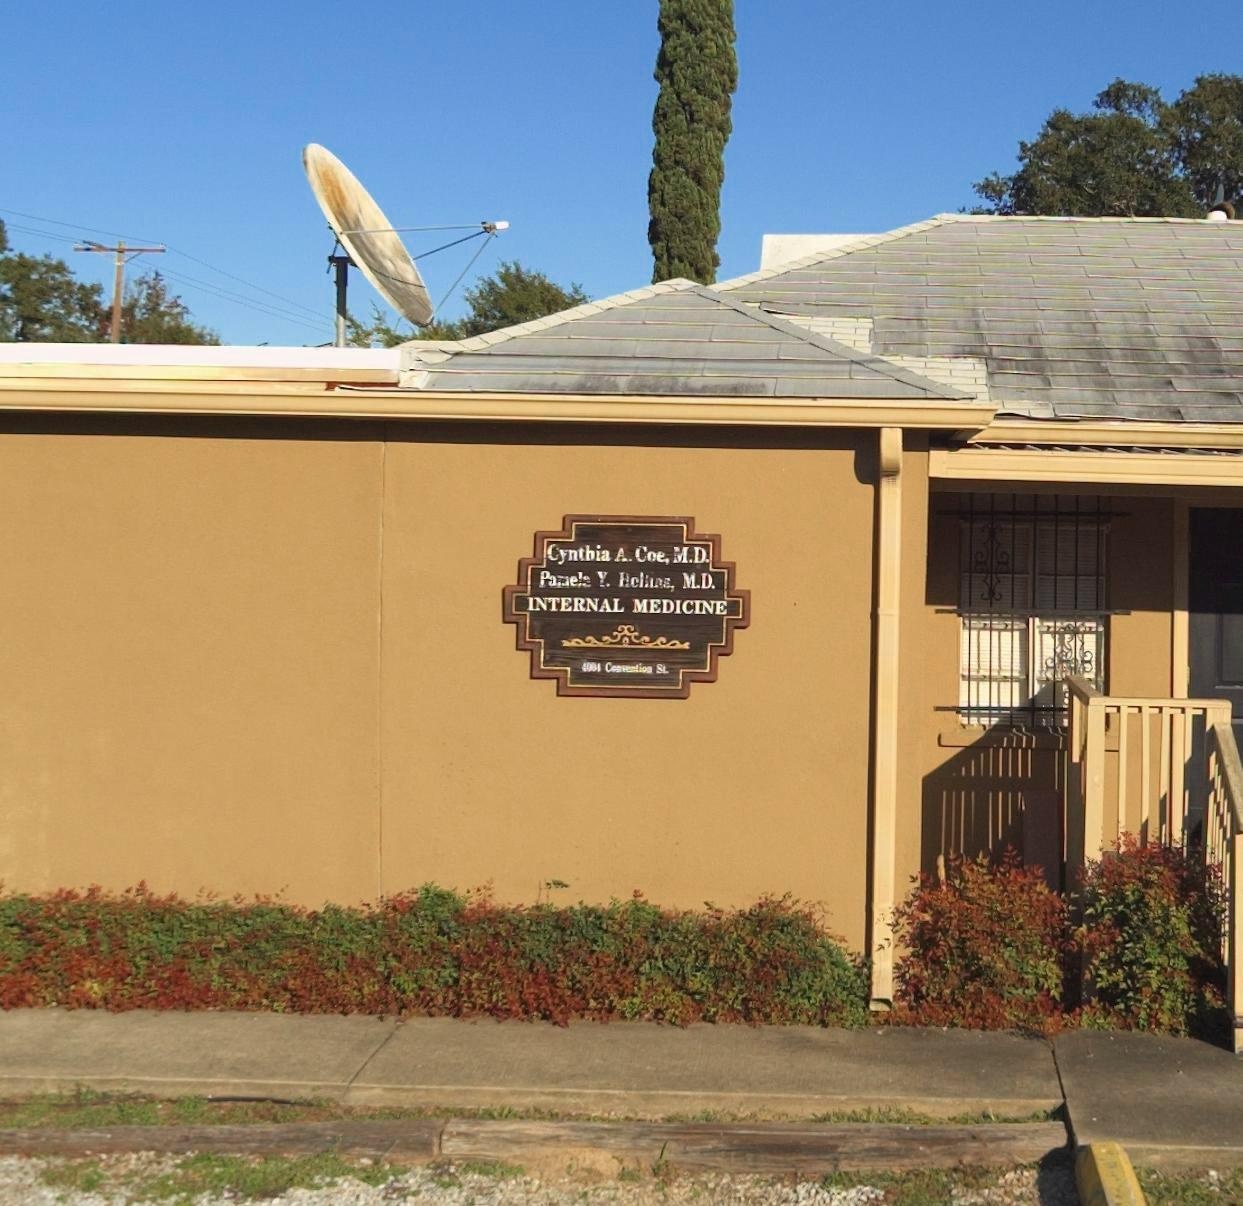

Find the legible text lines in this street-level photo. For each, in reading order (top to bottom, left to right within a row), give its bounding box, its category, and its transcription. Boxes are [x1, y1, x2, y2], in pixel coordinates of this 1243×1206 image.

[546, 543, 710, 566] BusinessName: Cynthia A. Coe, M.D.
[539, 569, 716, 593] BusinessName: Pa*el* Y. **l***, M.D.
[527, 596, 728, 616] BusinessName: INTERNAL MEDICINE
[580, 660, 602, 674] StreetNumber: 4***
[604, 660, 671, 675] StreetName: C****io* St.